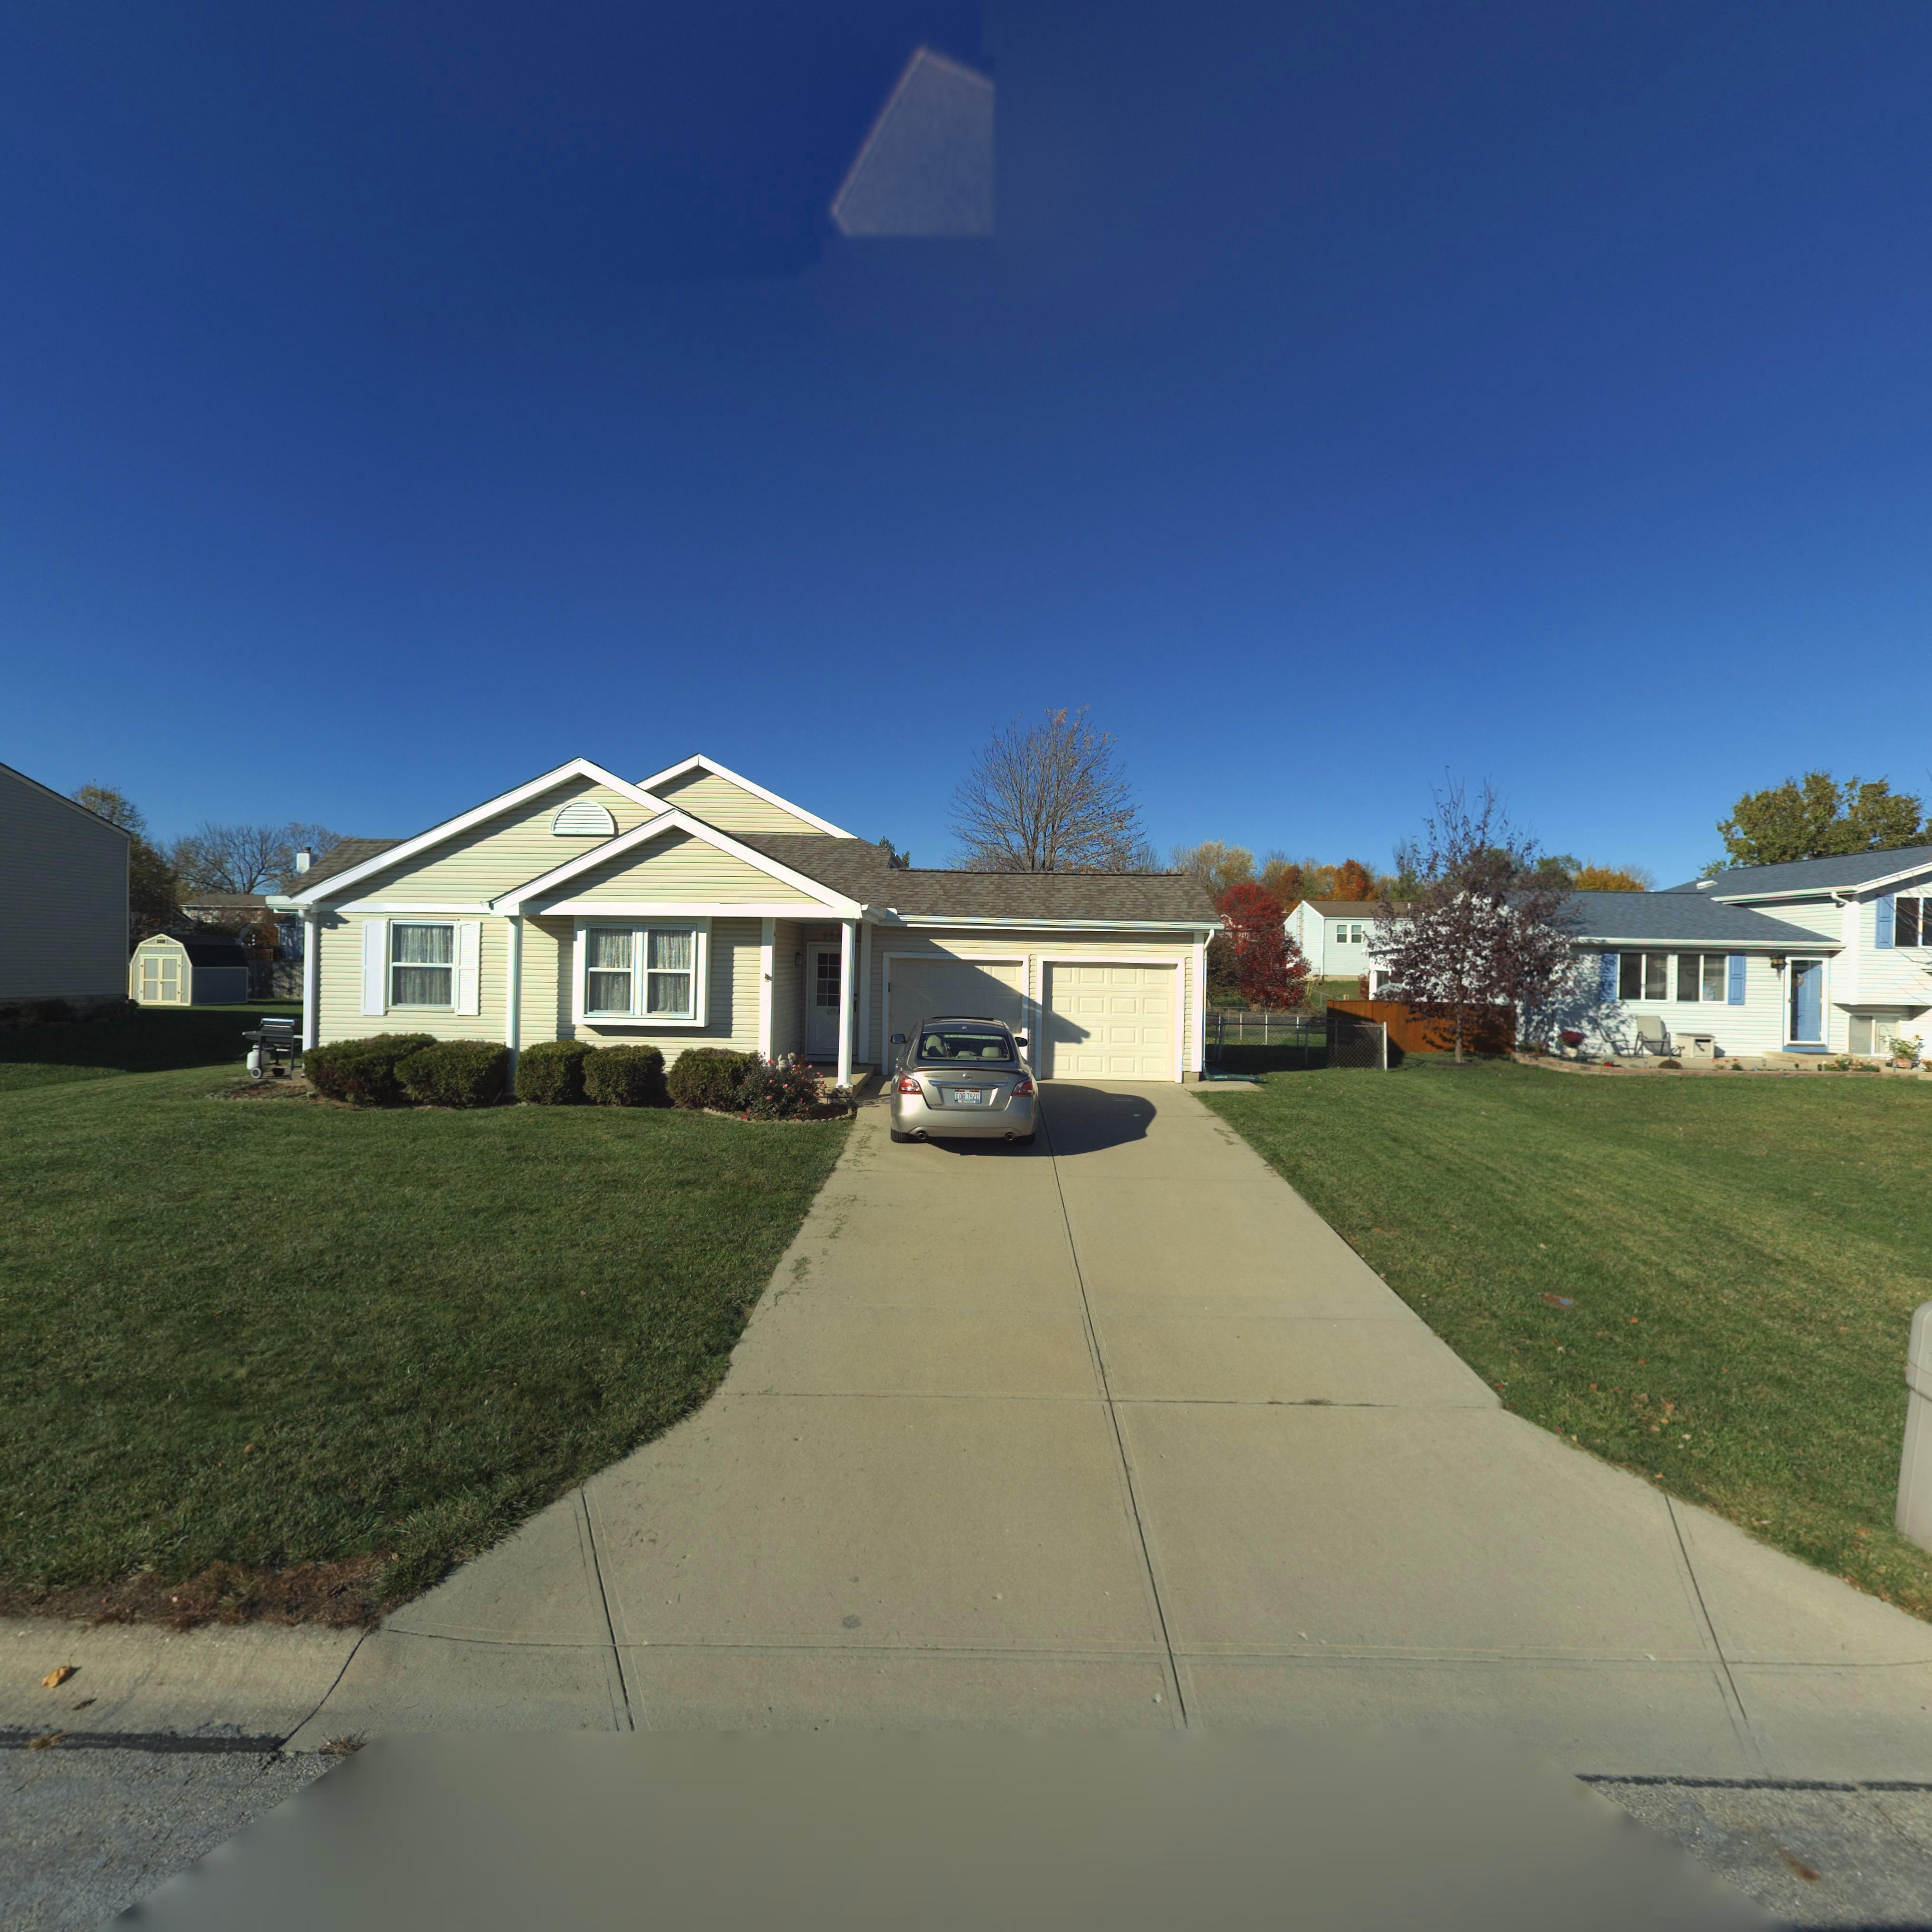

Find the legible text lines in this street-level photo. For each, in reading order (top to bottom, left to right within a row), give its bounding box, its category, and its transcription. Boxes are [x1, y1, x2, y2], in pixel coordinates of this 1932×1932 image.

[822, 930, 841, 941] StreetNumber: 584